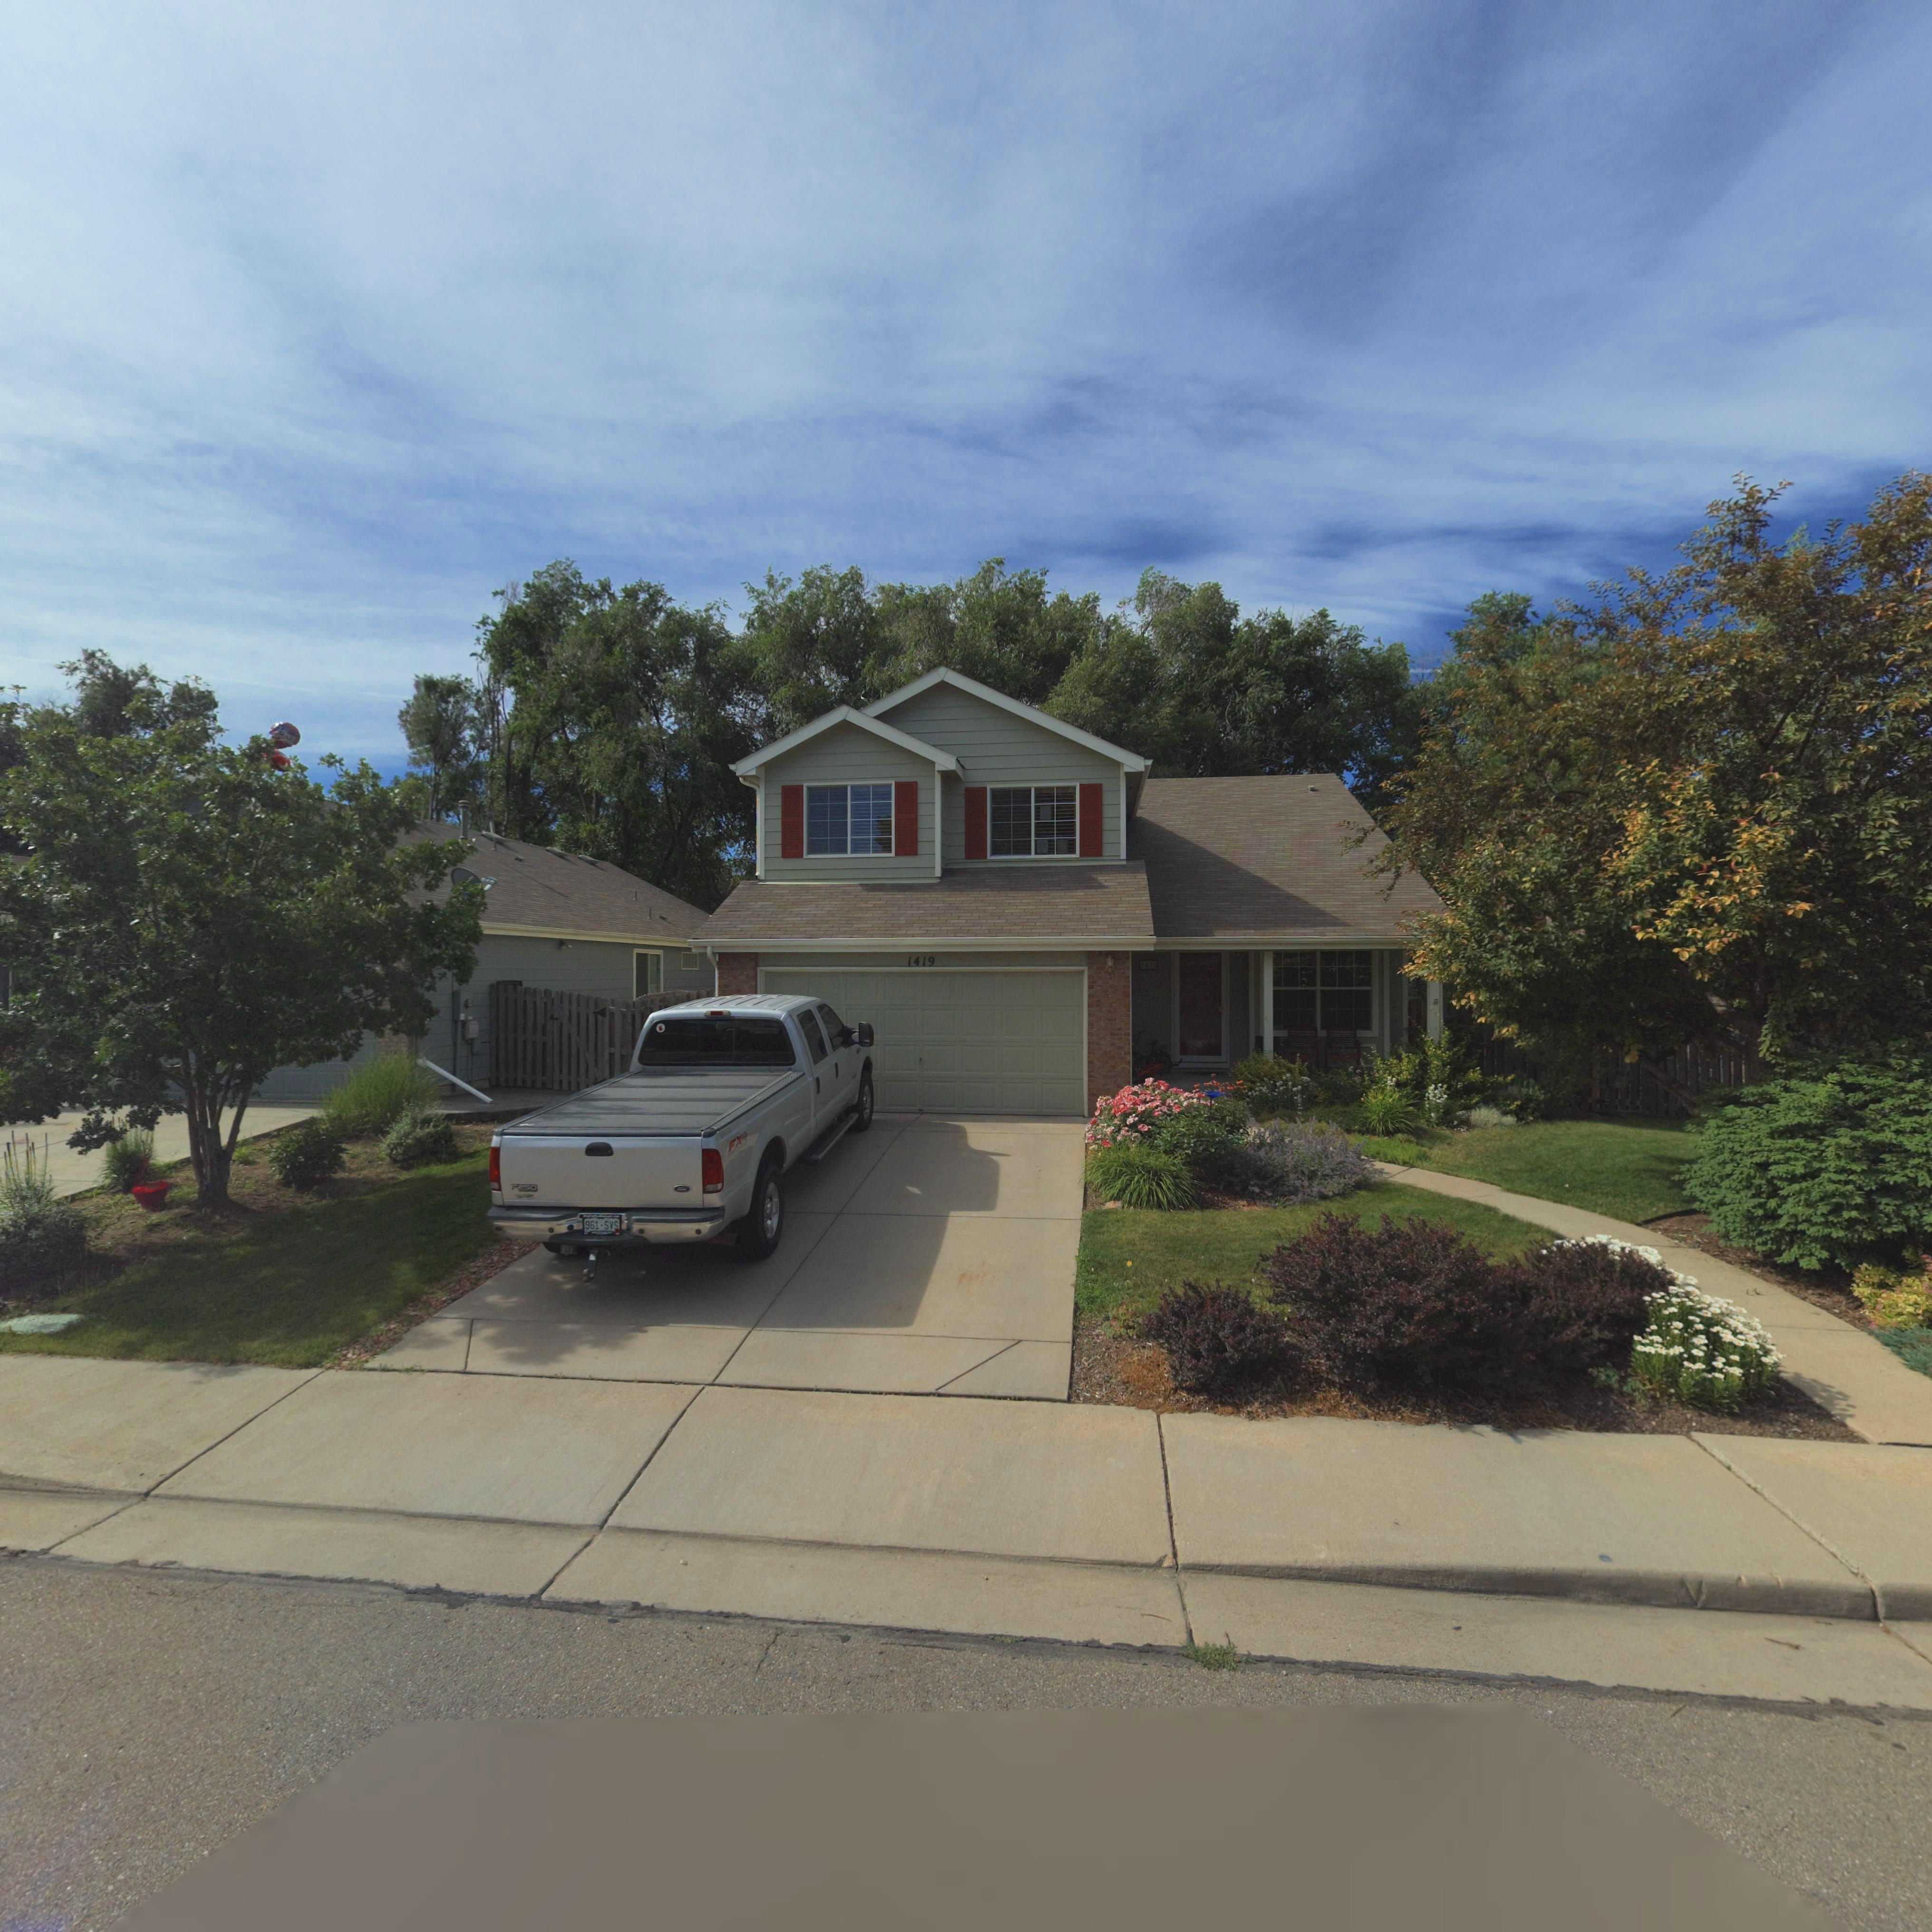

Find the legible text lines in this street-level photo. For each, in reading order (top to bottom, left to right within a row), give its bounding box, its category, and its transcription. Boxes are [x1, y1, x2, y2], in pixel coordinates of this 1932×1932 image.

[908, 955, 936, 967] StreetNumber: 1419
[1140, 961, 1157, 968] StreetNumber: 1419